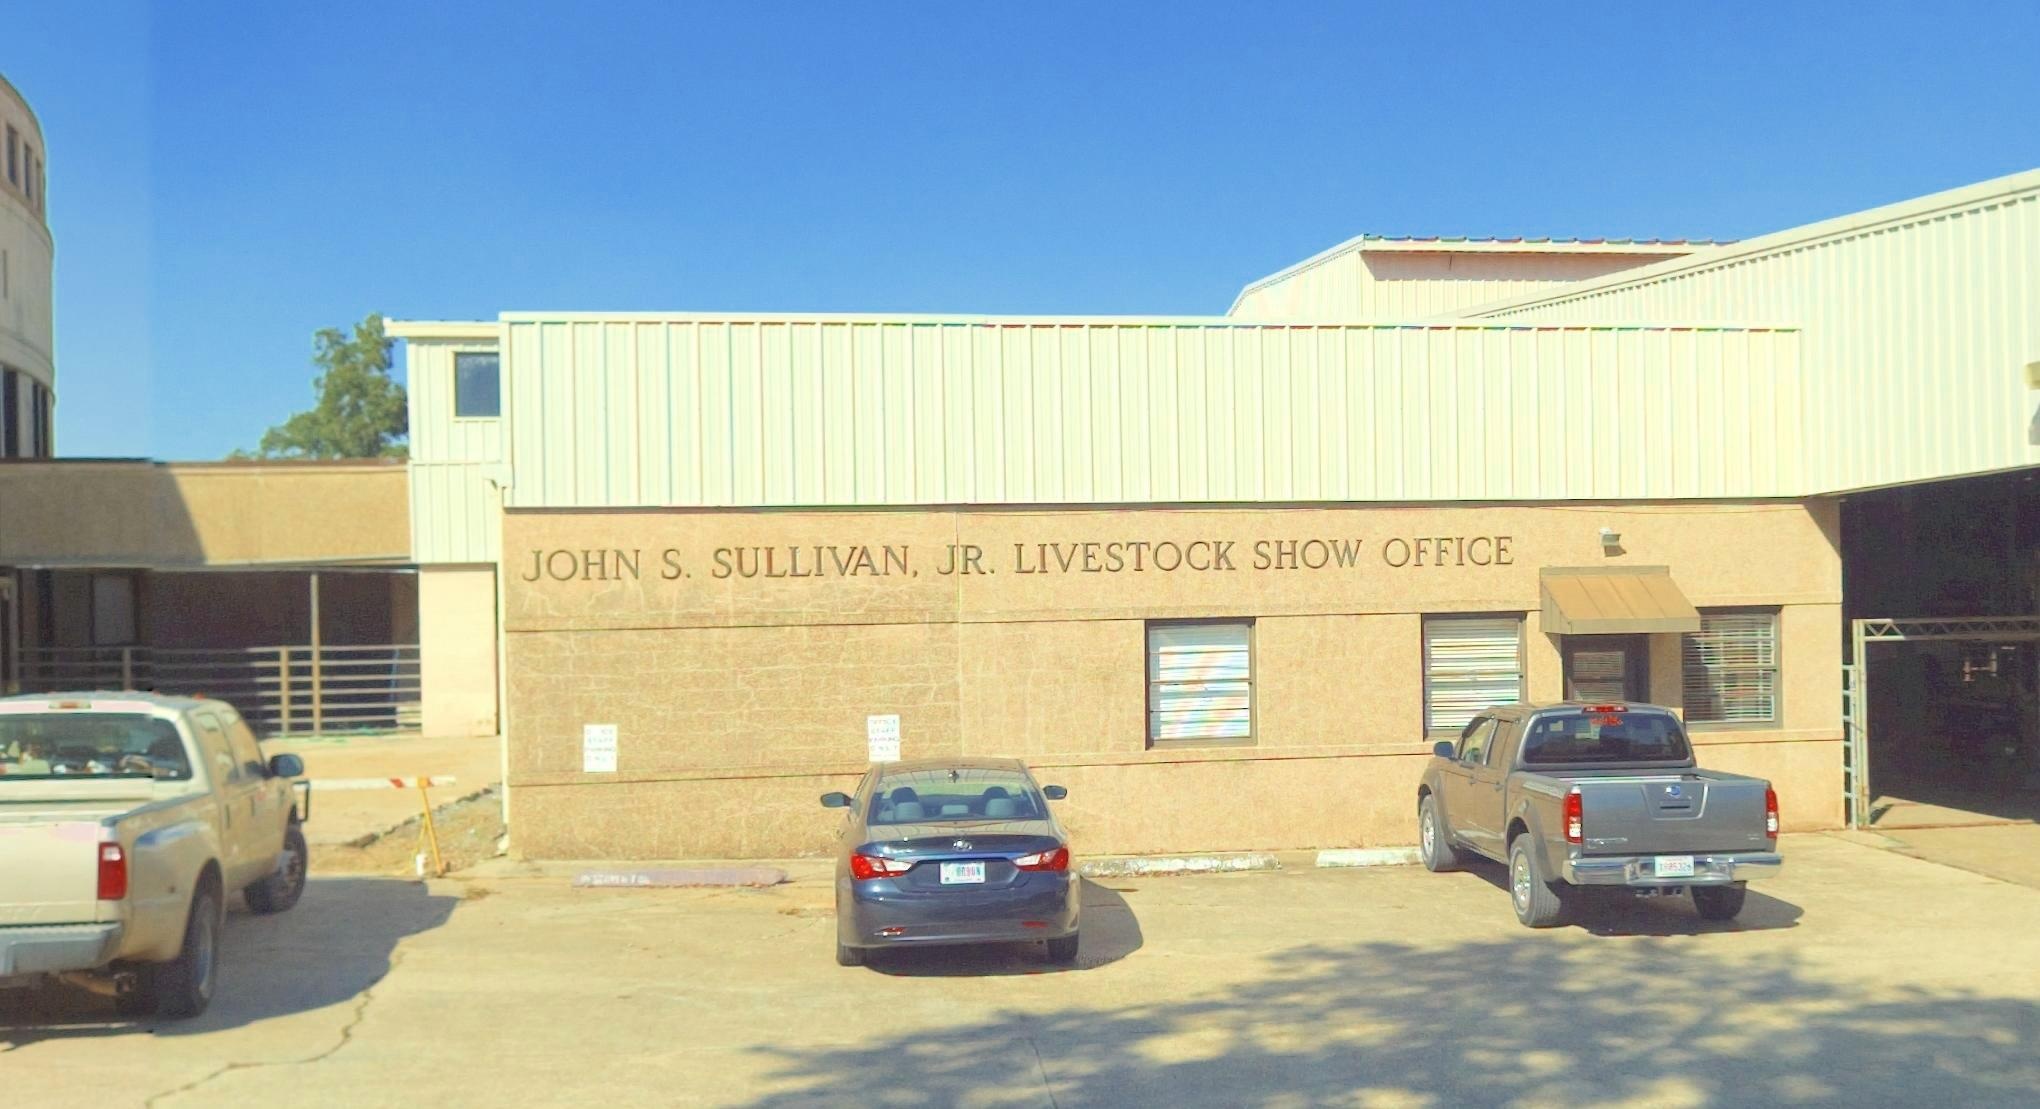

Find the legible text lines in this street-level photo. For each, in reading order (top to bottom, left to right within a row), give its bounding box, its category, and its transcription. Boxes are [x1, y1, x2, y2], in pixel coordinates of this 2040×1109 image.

[519, 535, 1516, 584] BusinessName: JOHN S. SULLIVAN, JR. LIVESTOCK SHOW OFFICE